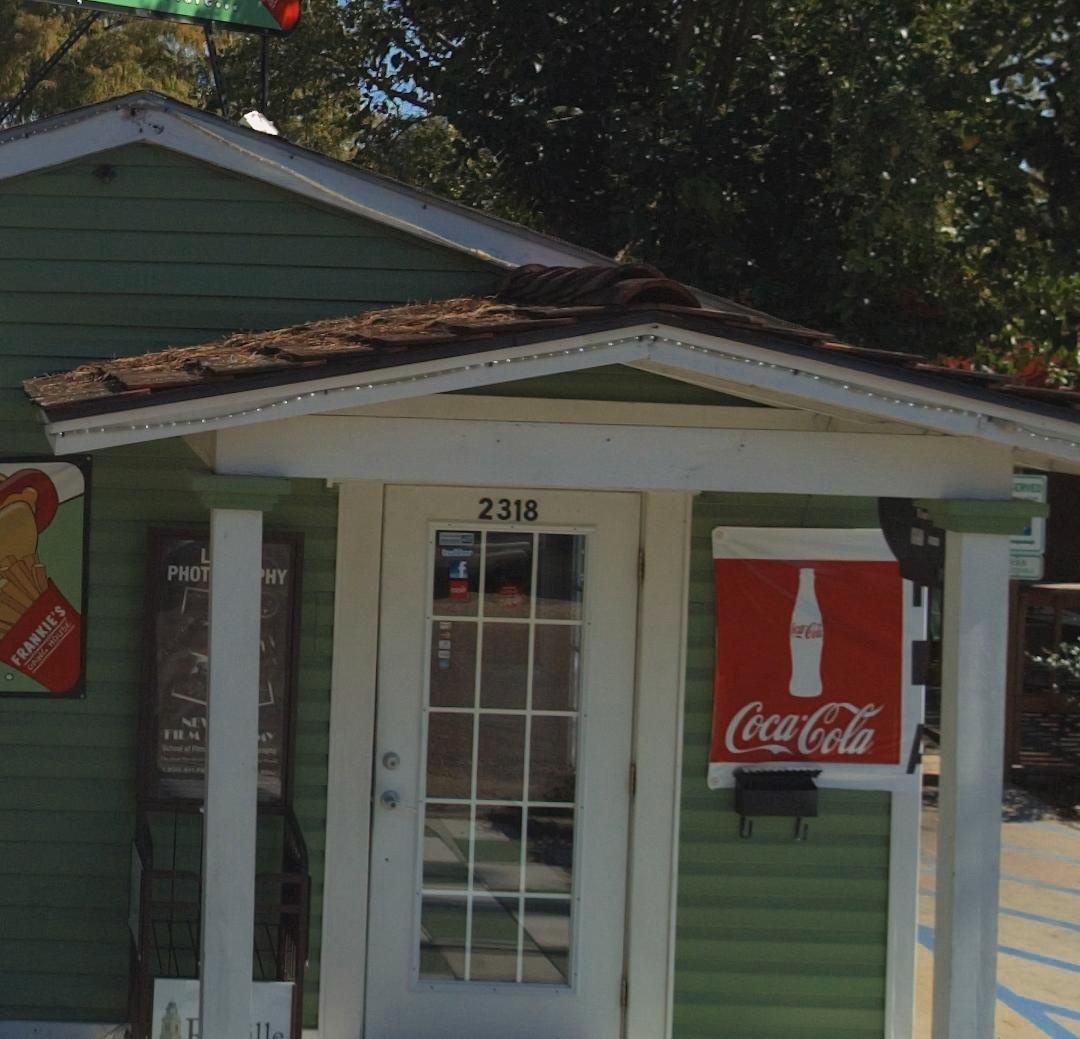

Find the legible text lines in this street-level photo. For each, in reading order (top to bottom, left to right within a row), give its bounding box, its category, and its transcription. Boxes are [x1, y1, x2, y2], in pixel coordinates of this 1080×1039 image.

[474, 495, 541, 524] StreetNumber: 2318
[198, 545, 212, 565] None: L
[165, 563, 212, 584] None: PHOT
[263, 566, 292, 587] None: HY
[455, 558, 469, 579] None: f
[7, 602, 68, 670] BusinessName: FRANKIE'S
[722, 697, 887, 757] None: Coca-Cola